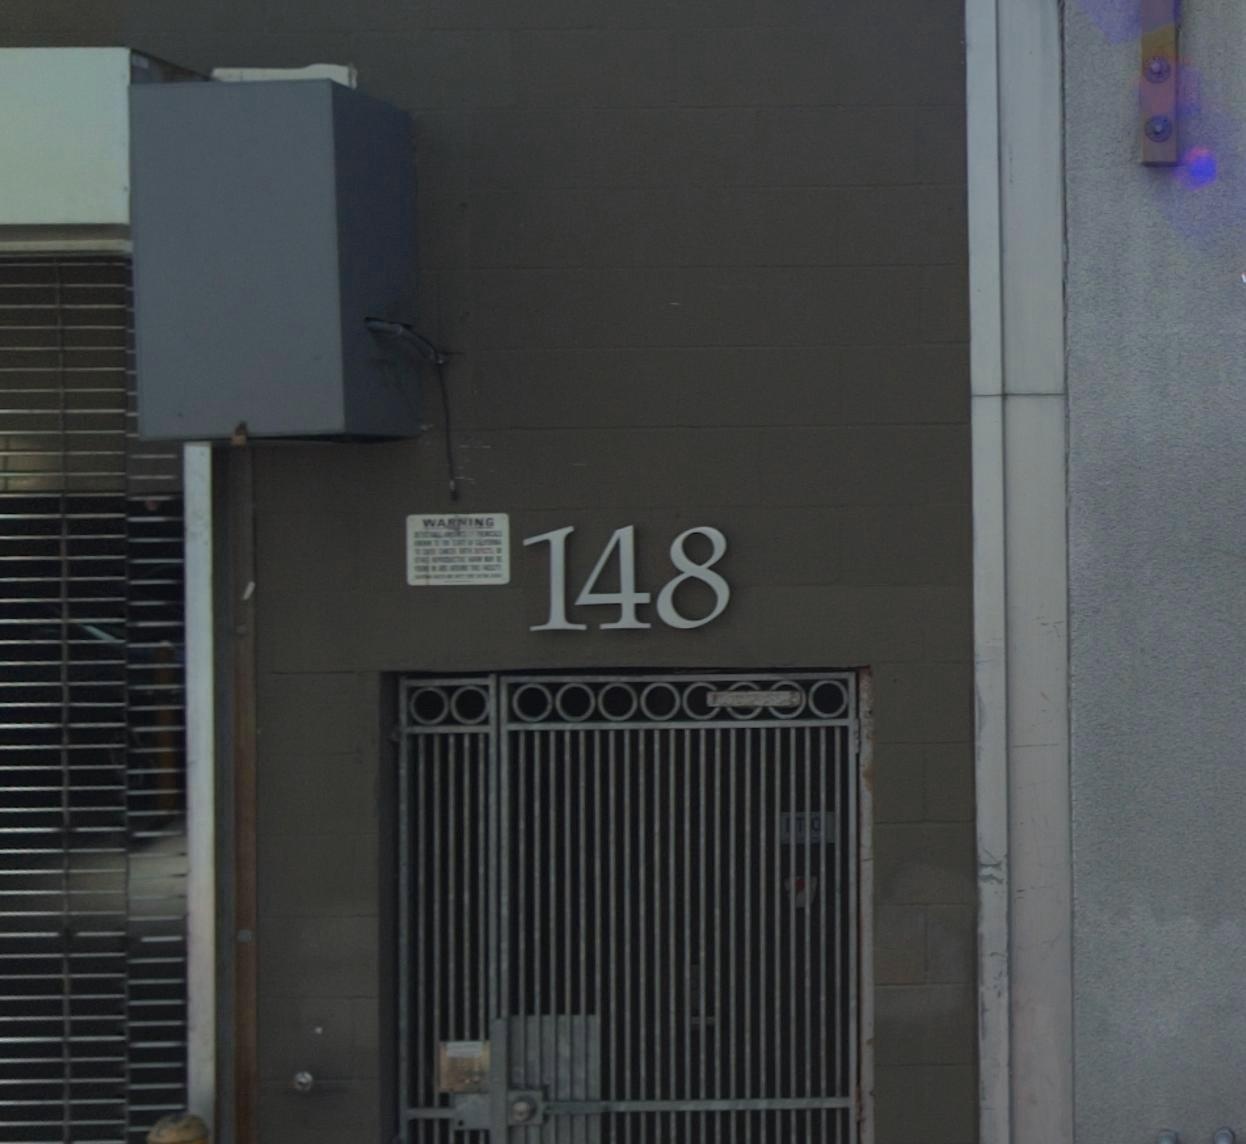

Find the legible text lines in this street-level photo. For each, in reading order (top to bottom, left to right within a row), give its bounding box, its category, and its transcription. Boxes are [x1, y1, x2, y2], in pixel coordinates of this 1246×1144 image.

[418, 513, 498, 531] None: WARNING
[515, 518, 738, 638] StreetNumber: 148